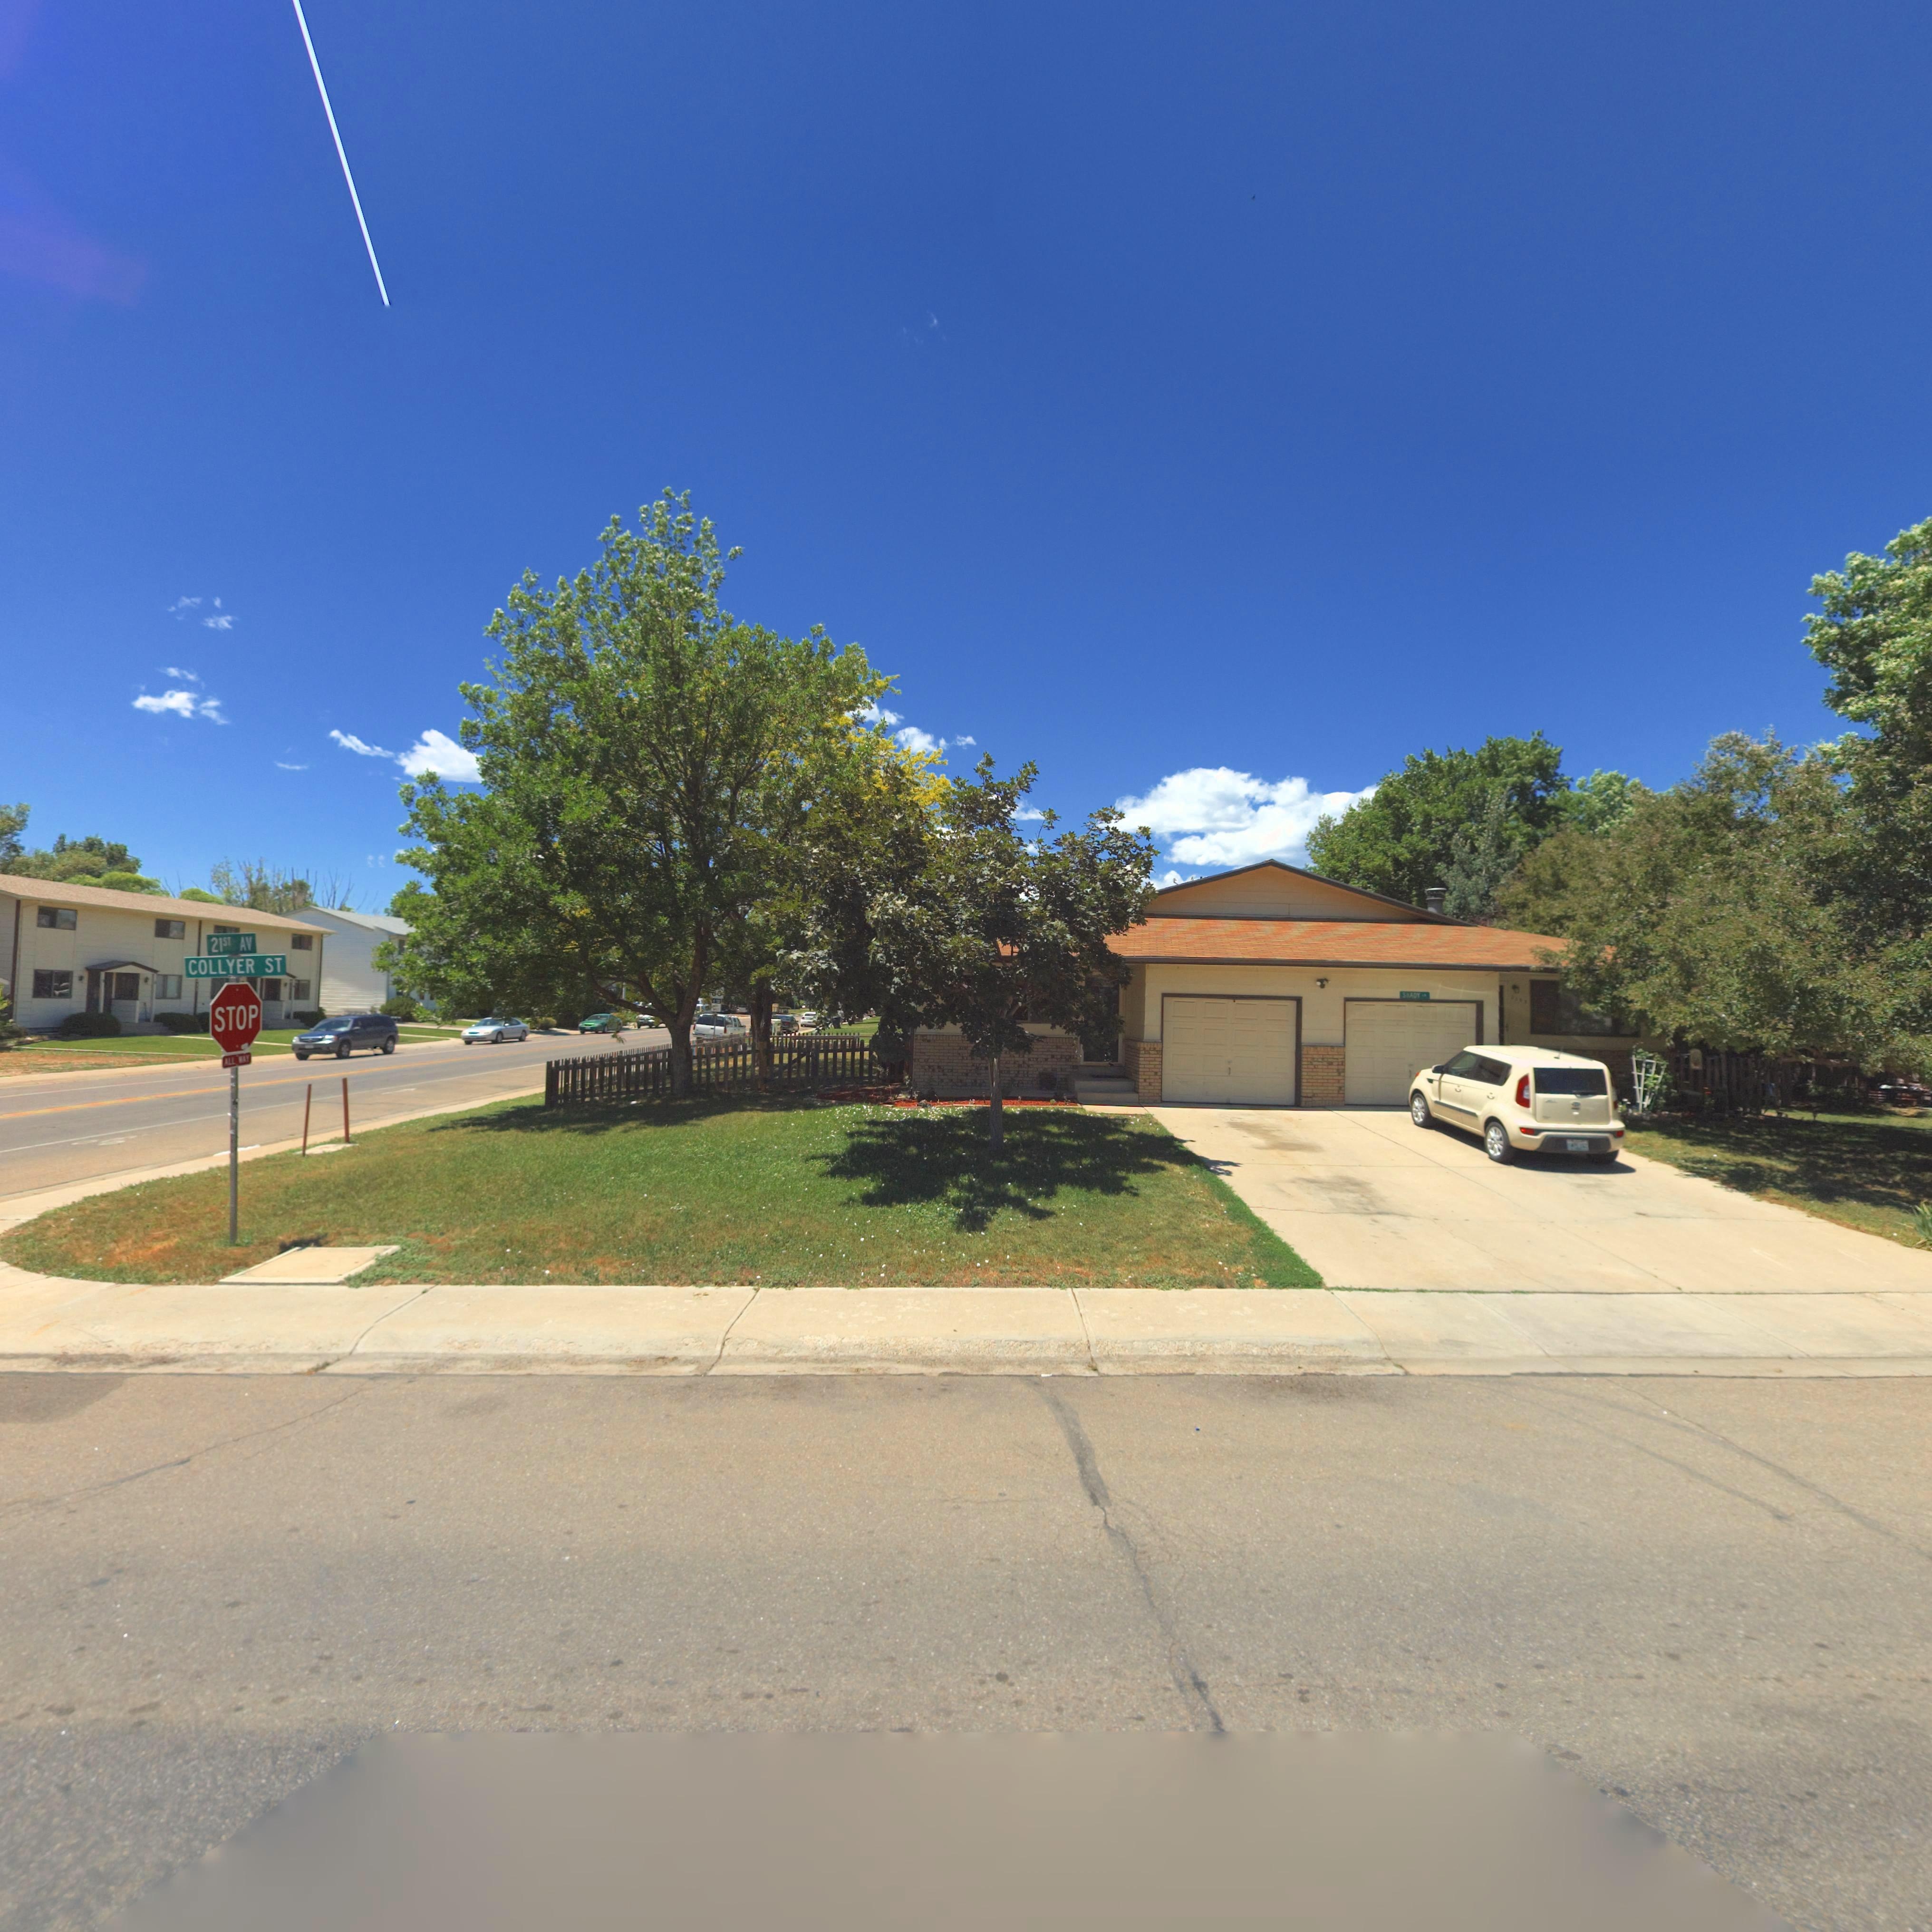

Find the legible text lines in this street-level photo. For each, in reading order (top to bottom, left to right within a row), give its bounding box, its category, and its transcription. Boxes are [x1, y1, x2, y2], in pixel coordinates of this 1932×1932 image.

[208, 934, 256, 954] StreetName: 21ST AV
[185, 956, 284, 978] StreetName: COLLYER ST
[1509, 994, 1528, 1005] StreetNumber: 2***